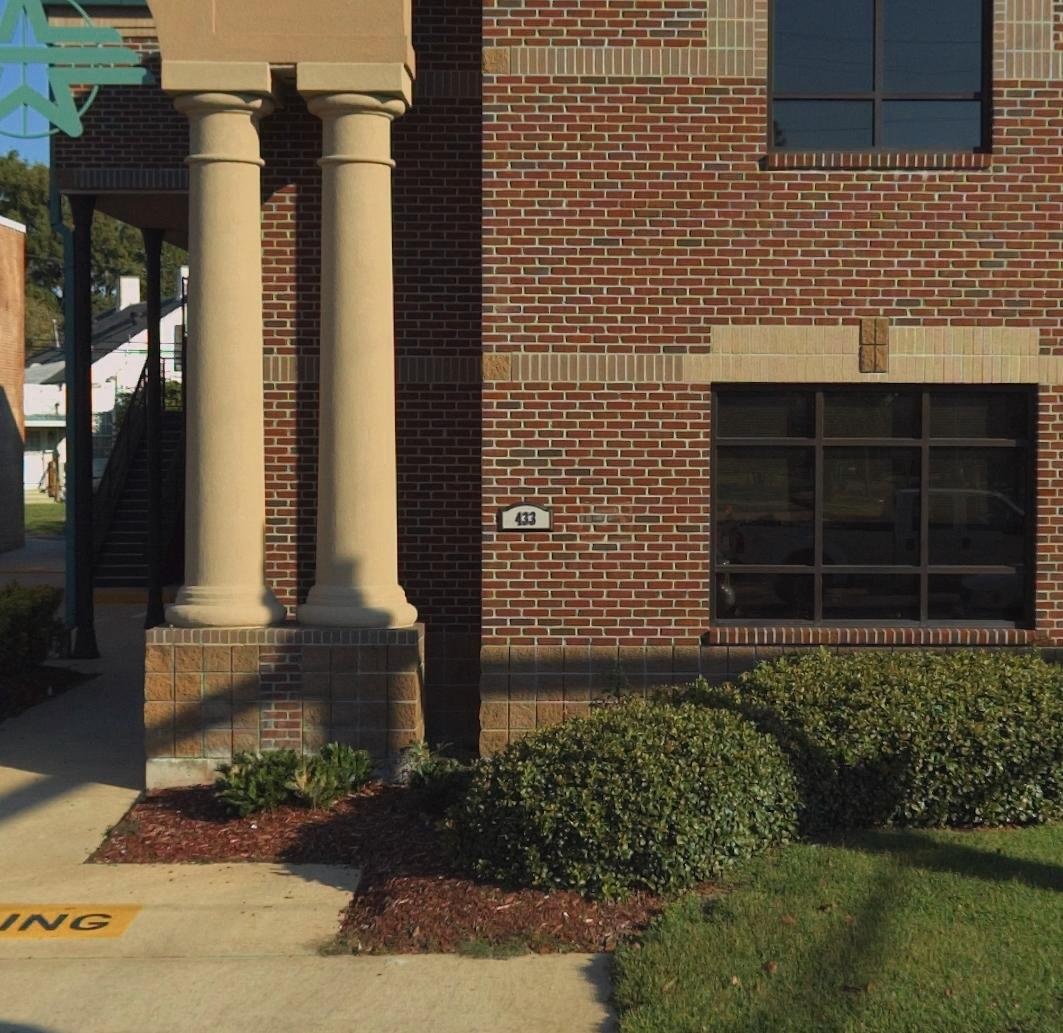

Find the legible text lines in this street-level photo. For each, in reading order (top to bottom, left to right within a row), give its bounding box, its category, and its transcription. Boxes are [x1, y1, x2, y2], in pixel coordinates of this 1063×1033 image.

[513, 509, 538, 528] StreetNumber: 433
[0, 910, 118, 934] None: ING